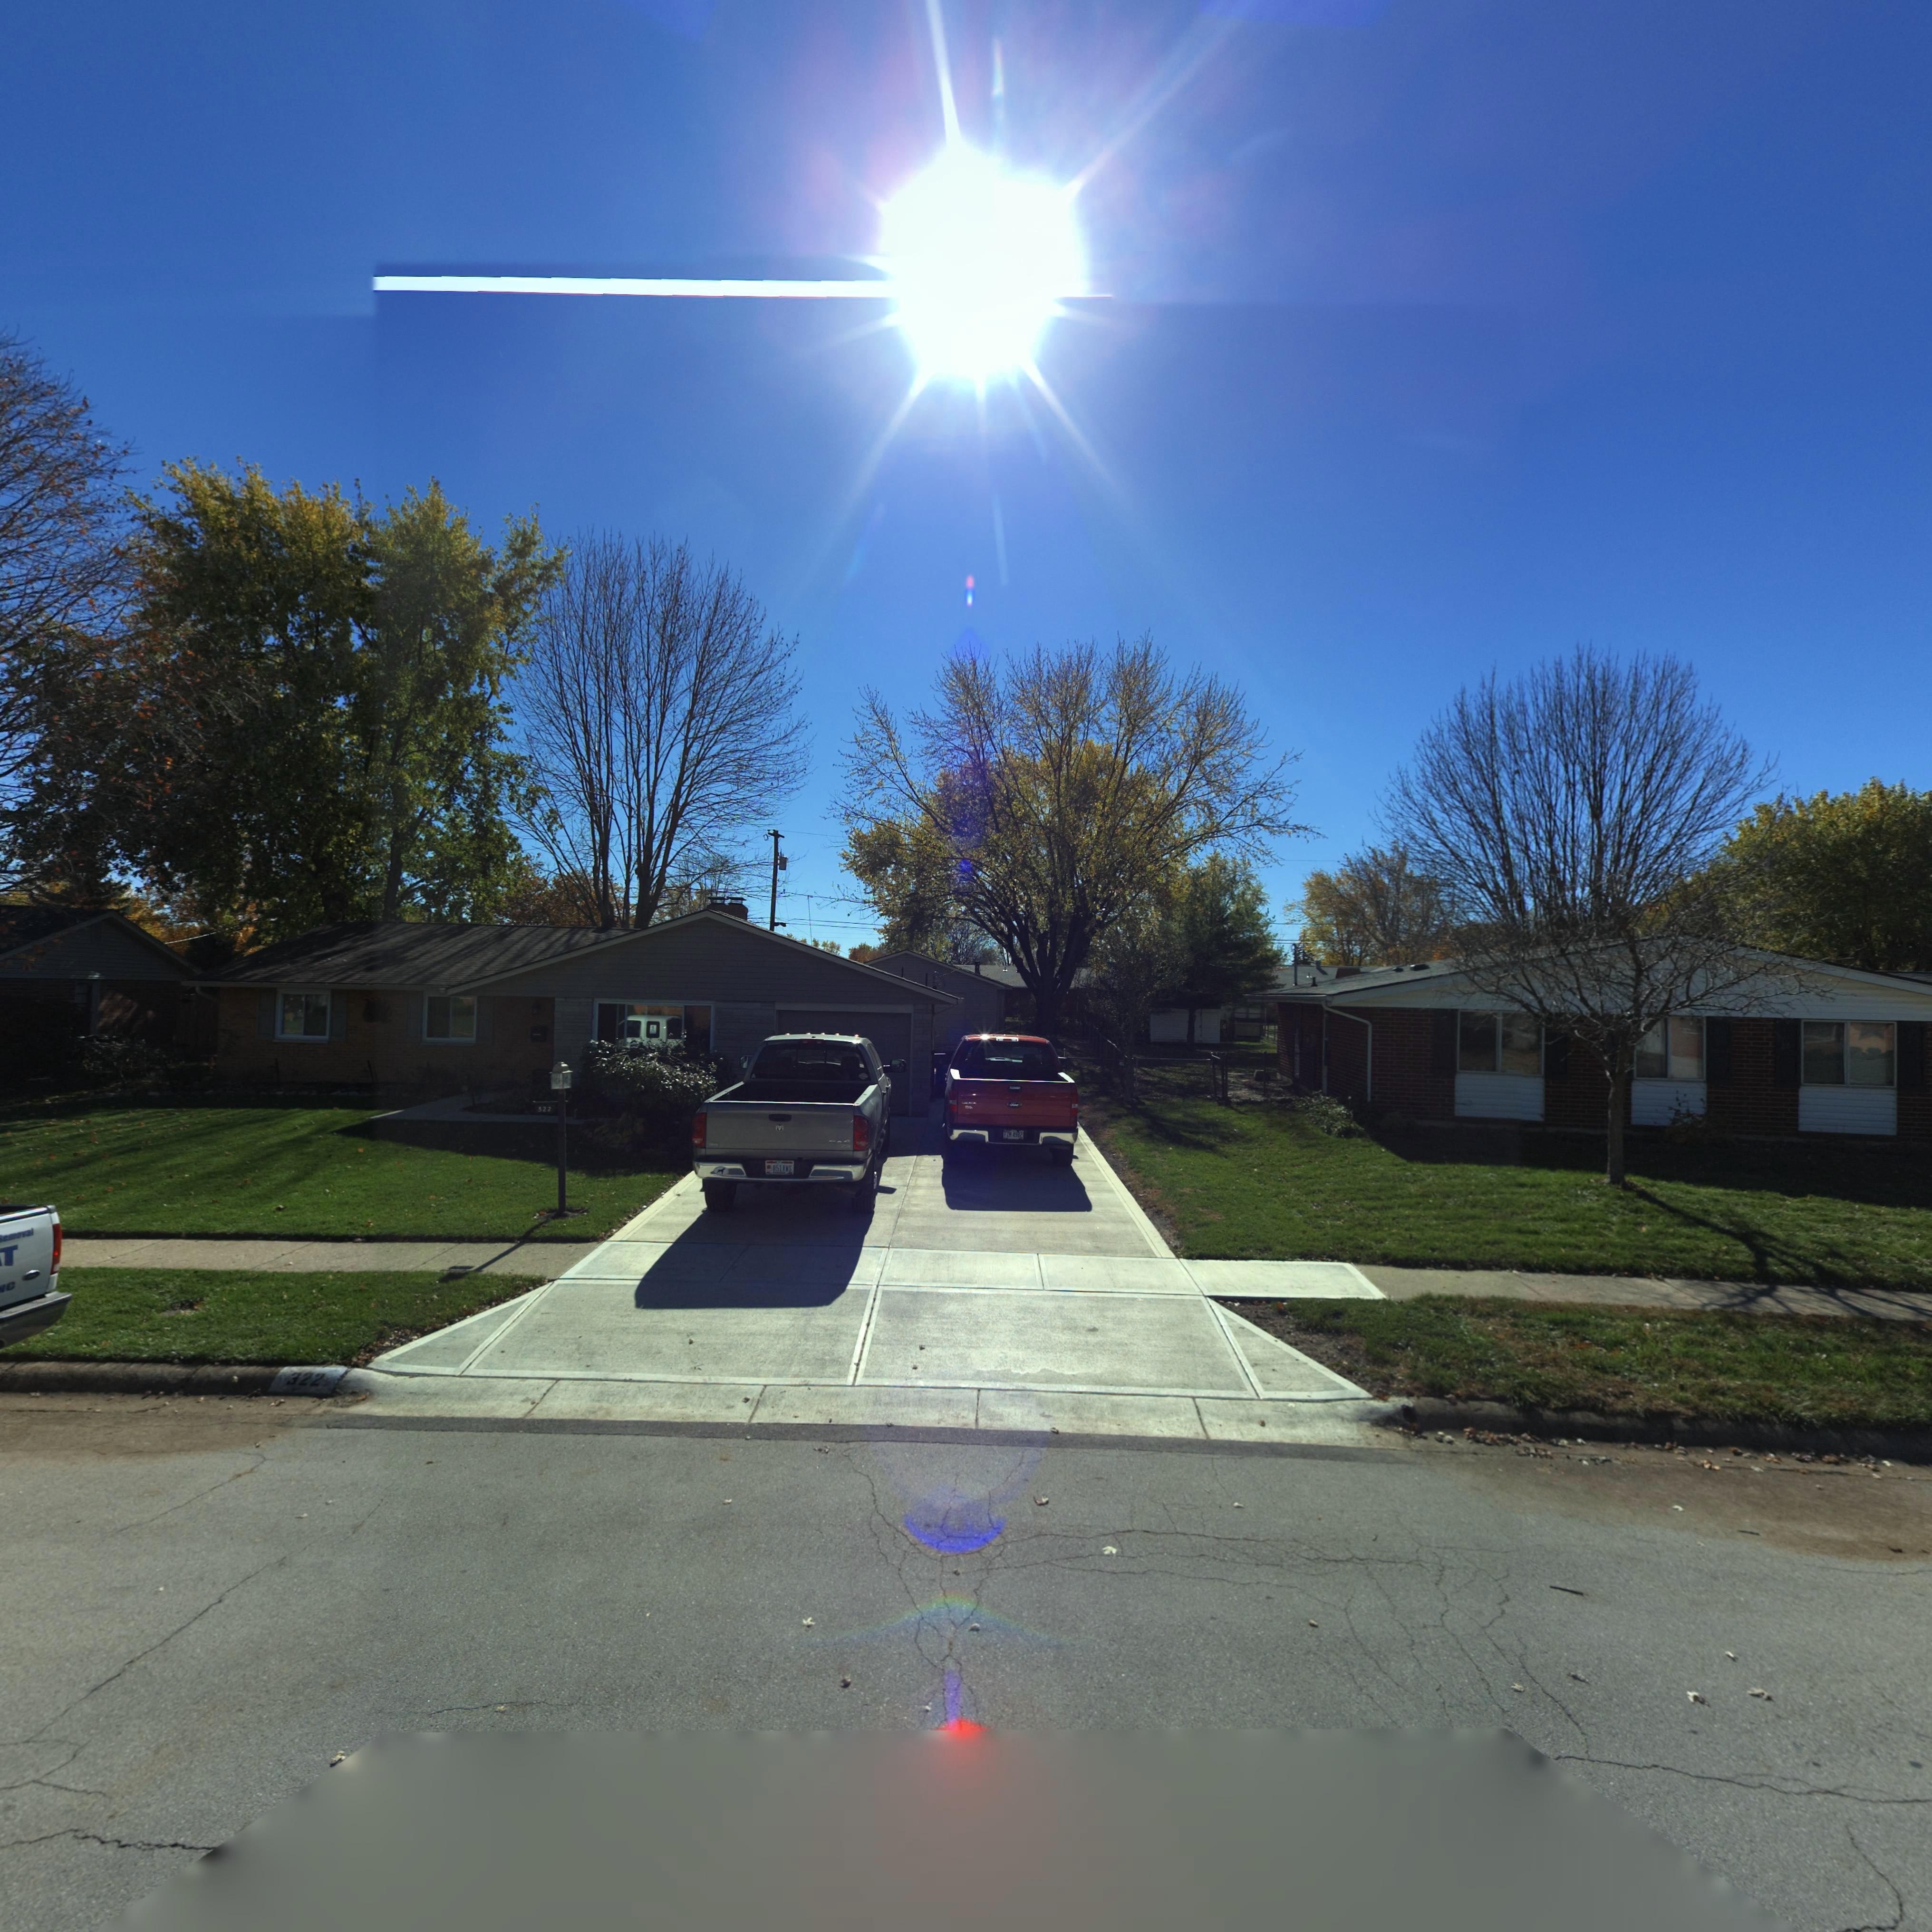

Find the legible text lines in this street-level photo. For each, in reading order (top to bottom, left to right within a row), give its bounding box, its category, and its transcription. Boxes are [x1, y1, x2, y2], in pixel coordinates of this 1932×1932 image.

[537, 1105, 553, 1113] StreetNumber: 322
[1004, 1131, 1023, 1139] None: FZM*4982
[827, 1138, 851, 1144] None: 4x4
[772, 1164, 792, 1173] None: 851XWS
[21, 1227, 35, 1238] None: val
[0, 1243, 19, 1267] None: T
[5, 1280, 16, 1292] None: c
[283, 1371, 329, 1388] StreetNumber: 322